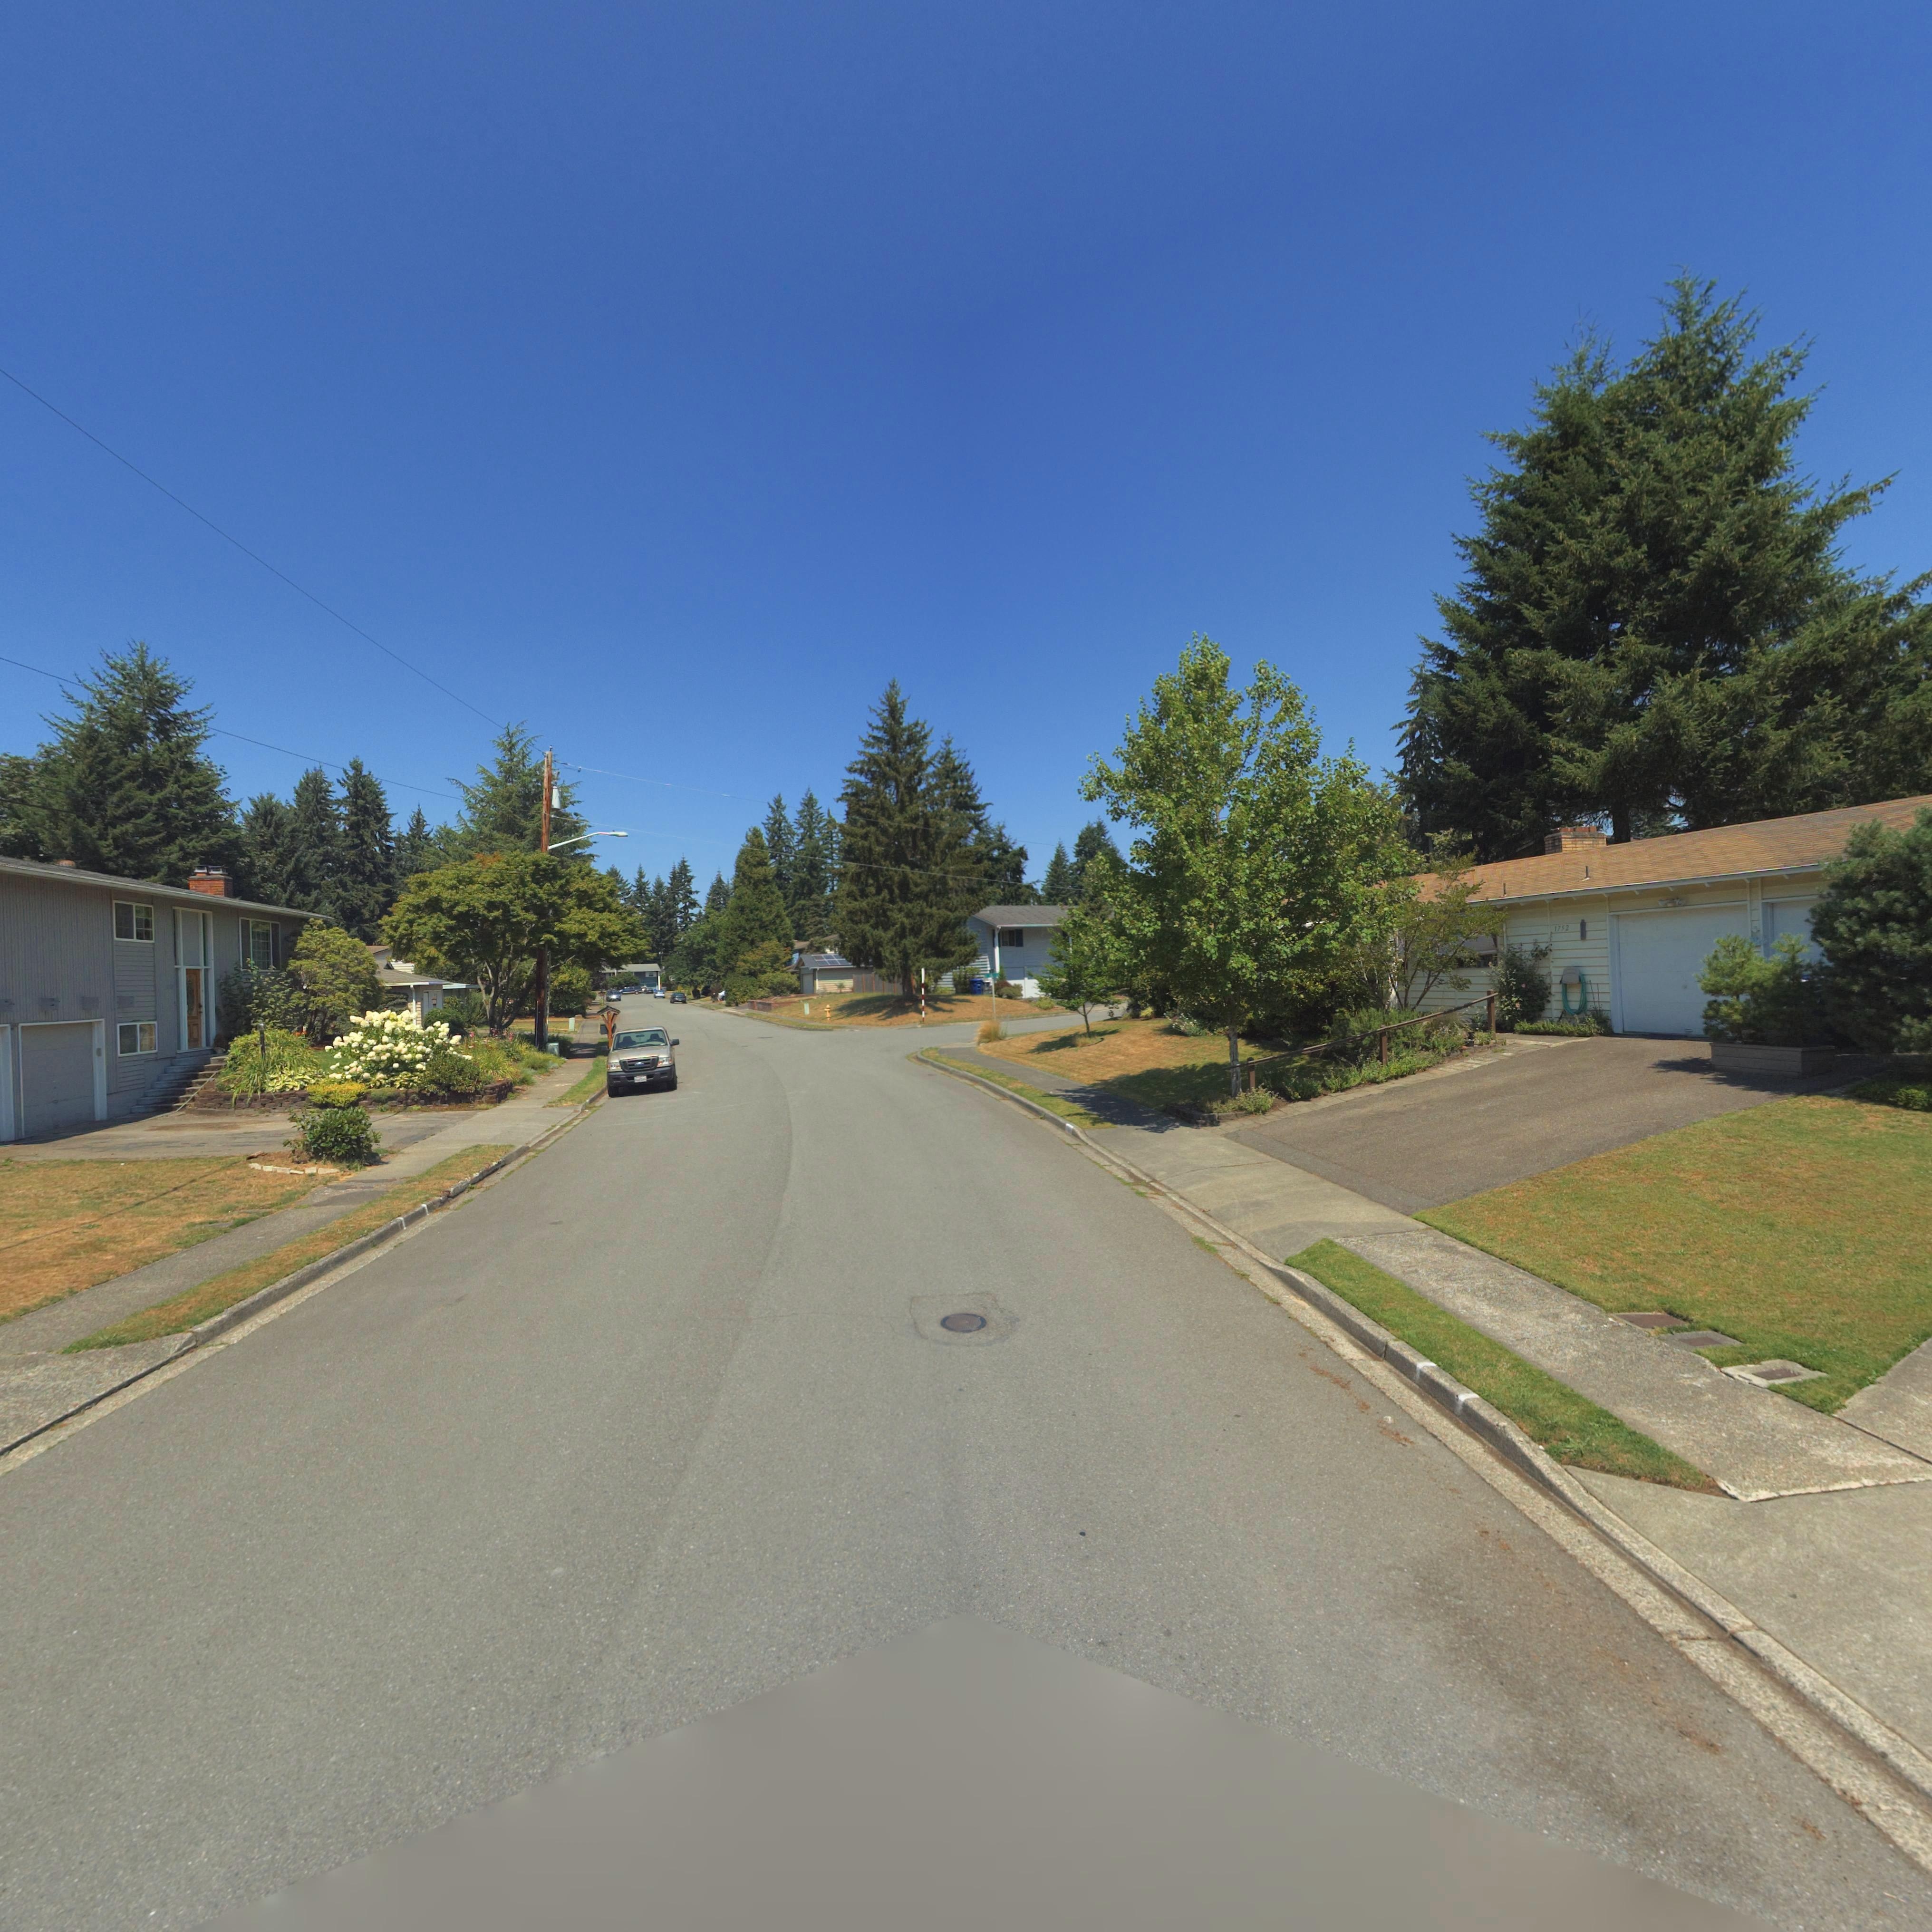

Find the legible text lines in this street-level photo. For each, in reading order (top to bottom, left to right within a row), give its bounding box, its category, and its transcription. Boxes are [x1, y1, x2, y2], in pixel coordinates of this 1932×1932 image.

[1555, 924, 1569, 932] StreetNumber: 1752